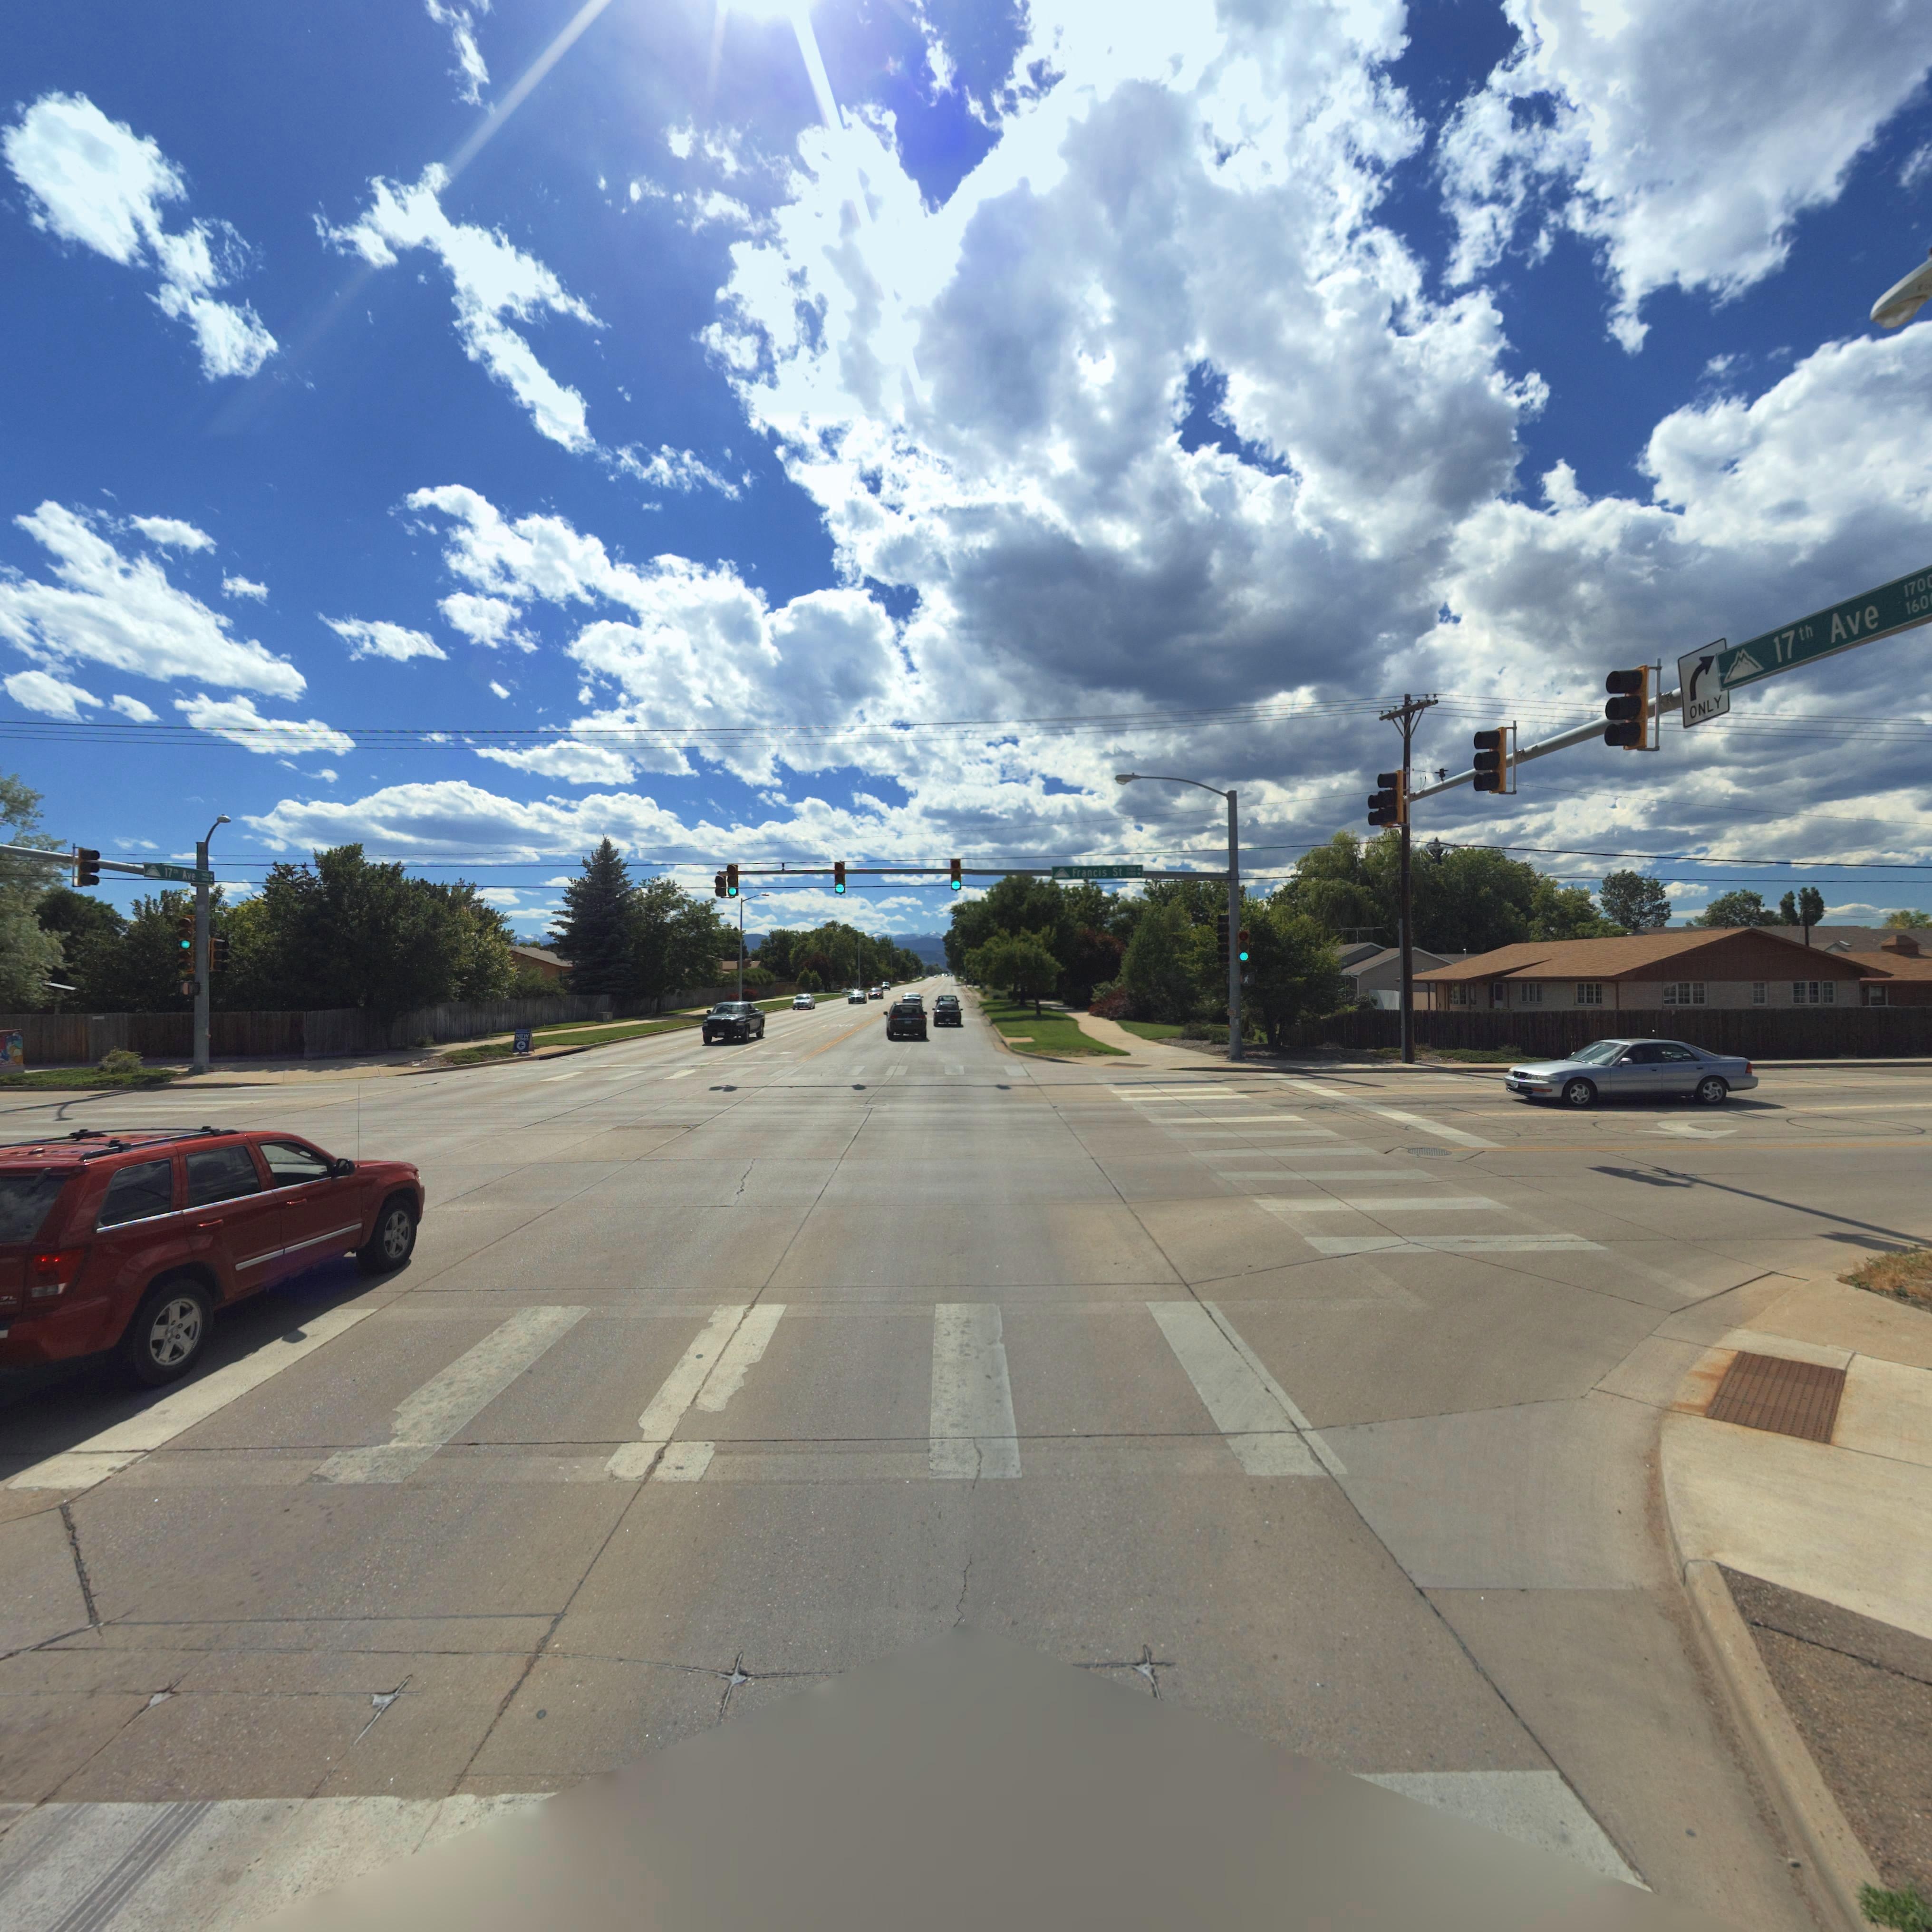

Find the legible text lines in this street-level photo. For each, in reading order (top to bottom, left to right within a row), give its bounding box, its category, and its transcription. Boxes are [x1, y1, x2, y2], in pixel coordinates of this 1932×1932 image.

[1903, 576, 1927, 598] StreetNumberRange: 170
[1905, 594, 1929, 615] StreetNumberRange: 160
[1772, 605, 1880, 663] StreetName: 17th Ave
[164, 867, 196, 880] StreetName: 17** Ave
[1072, 867, 1123, 877] StreetName: Francis St
[1126, 866, 1136, 871] StreetNumberRange: 1700
[1126, 871, 1141, 876] StreetNumberRange: 1*00*